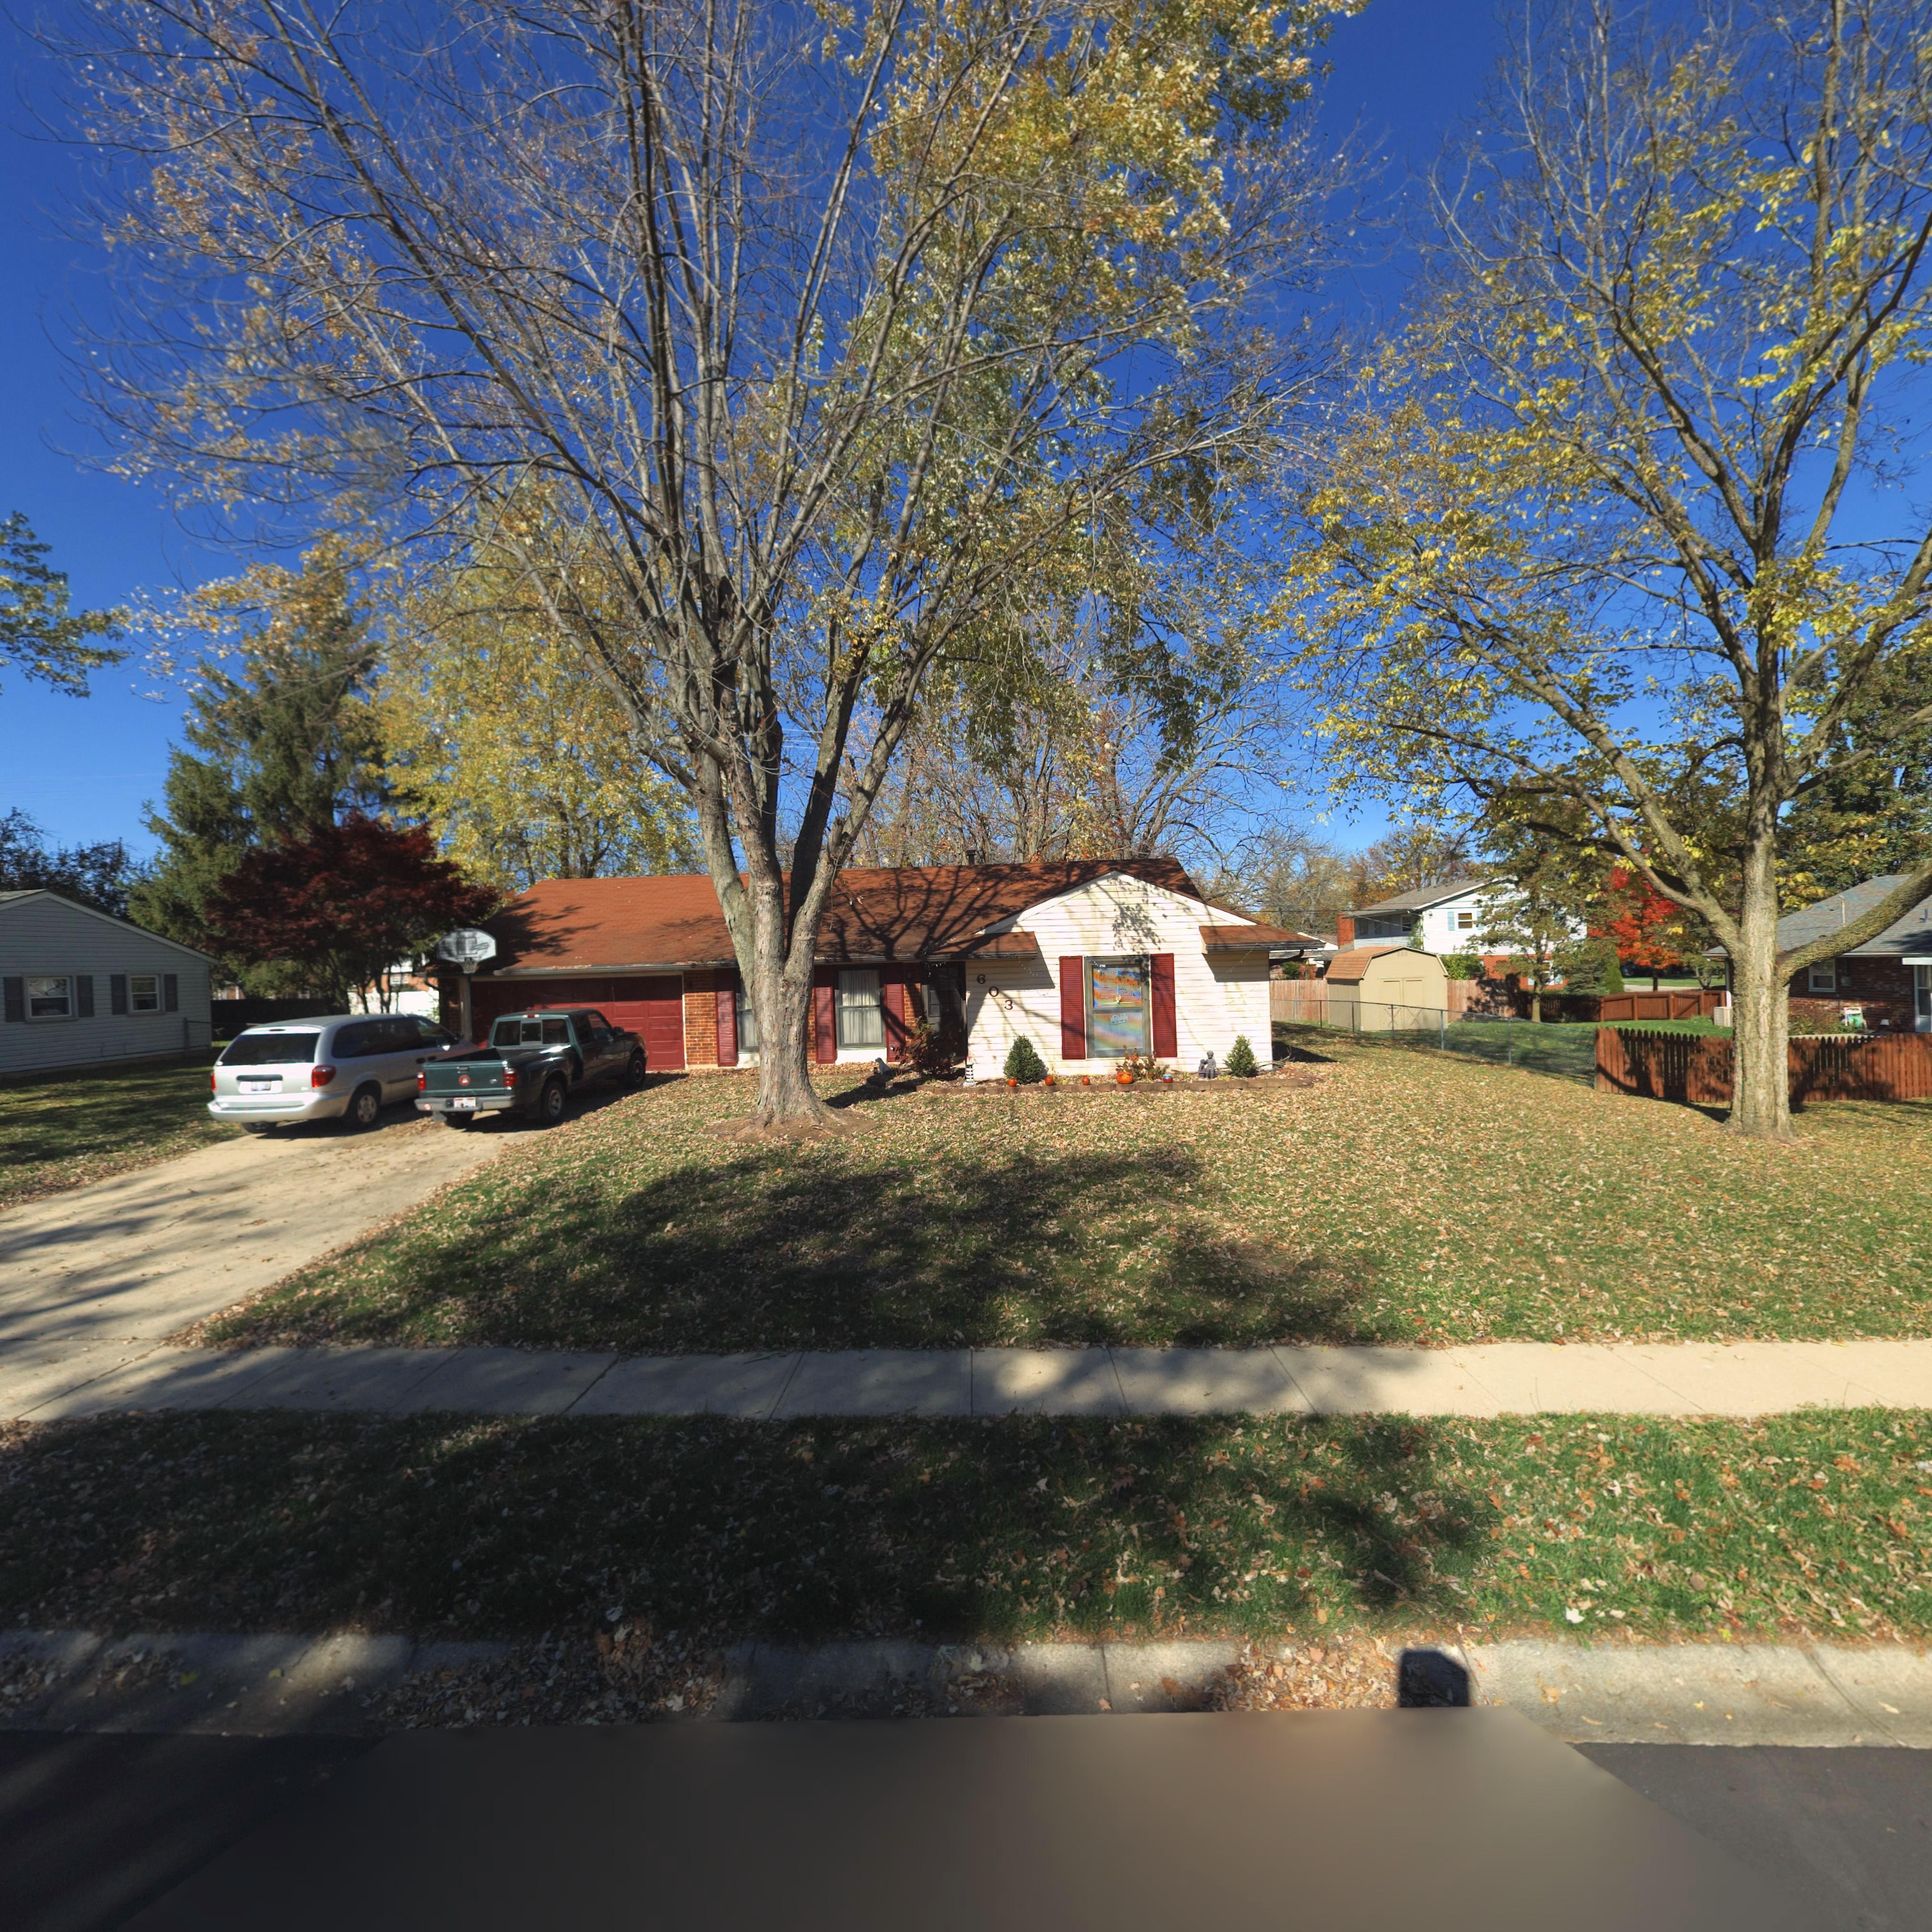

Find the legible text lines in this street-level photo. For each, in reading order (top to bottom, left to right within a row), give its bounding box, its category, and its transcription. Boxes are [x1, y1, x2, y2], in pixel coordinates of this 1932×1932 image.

[976, 974, 1014, 1010] StreetNumber: 603